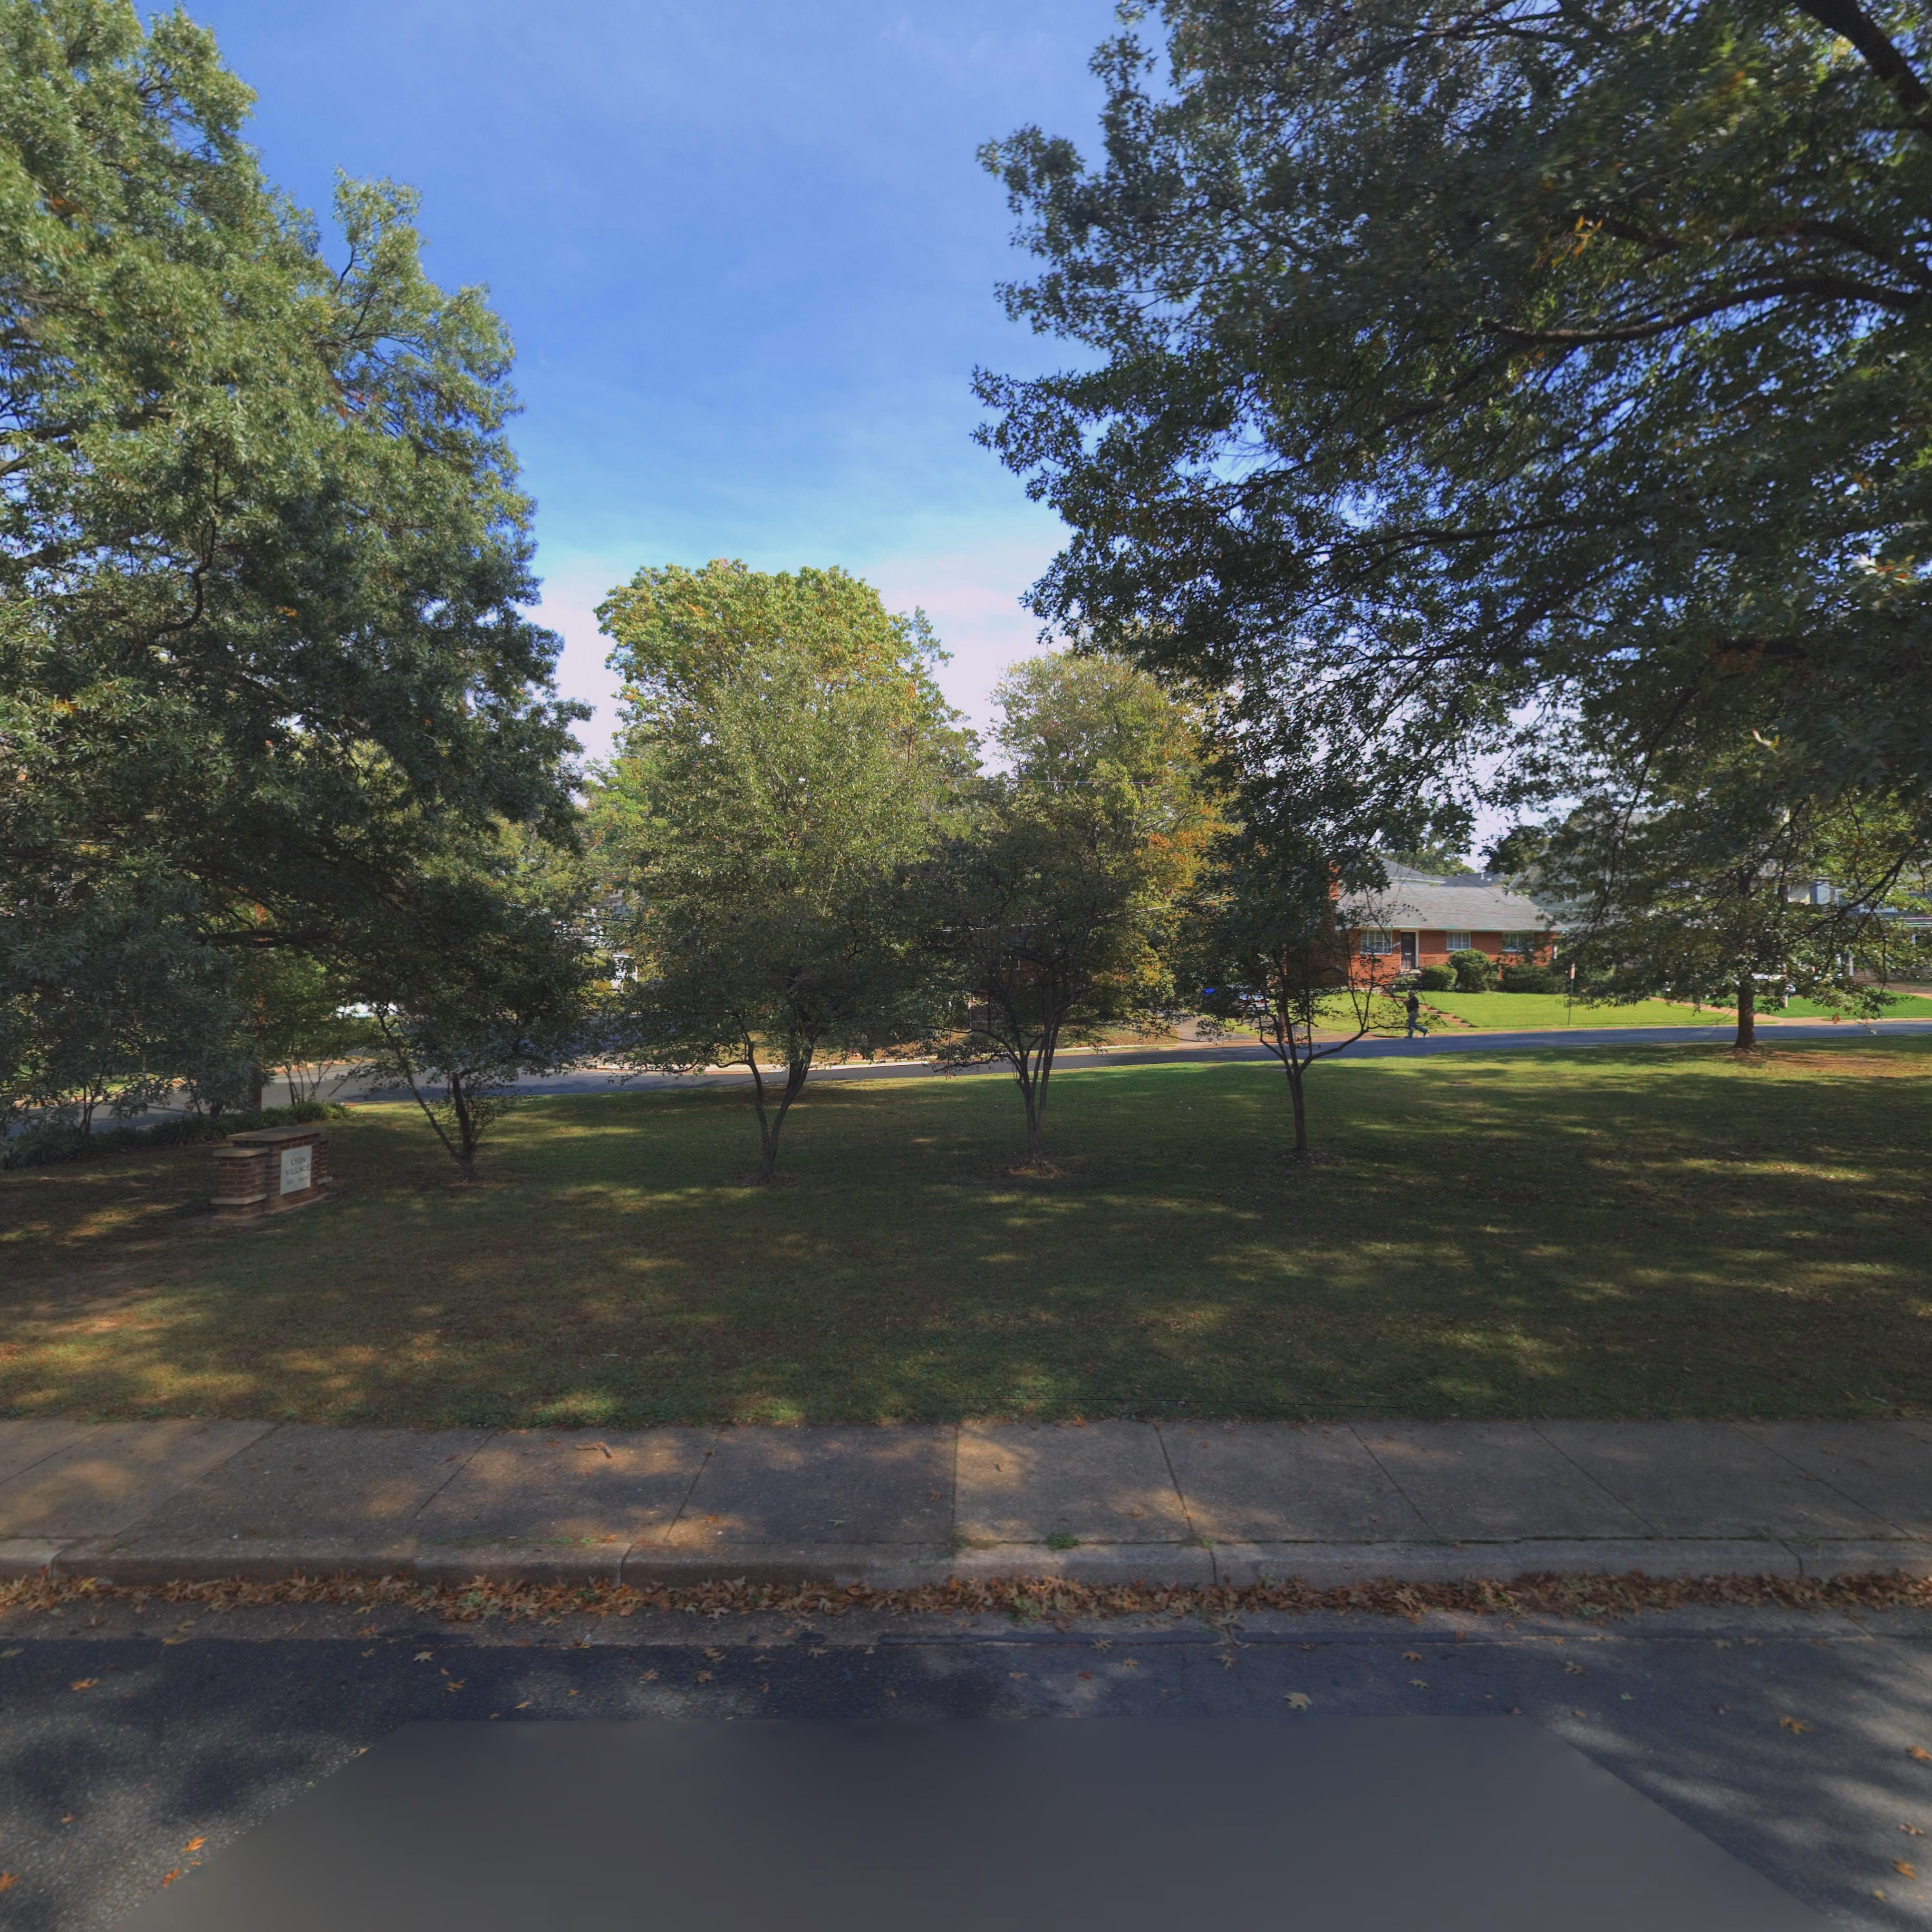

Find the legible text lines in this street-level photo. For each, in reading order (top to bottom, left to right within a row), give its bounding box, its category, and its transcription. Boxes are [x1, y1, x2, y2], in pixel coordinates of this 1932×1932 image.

[289, 1154, 308, 1167] None: LYON
[283, 1162, 311, 1178] None: VILLA*E